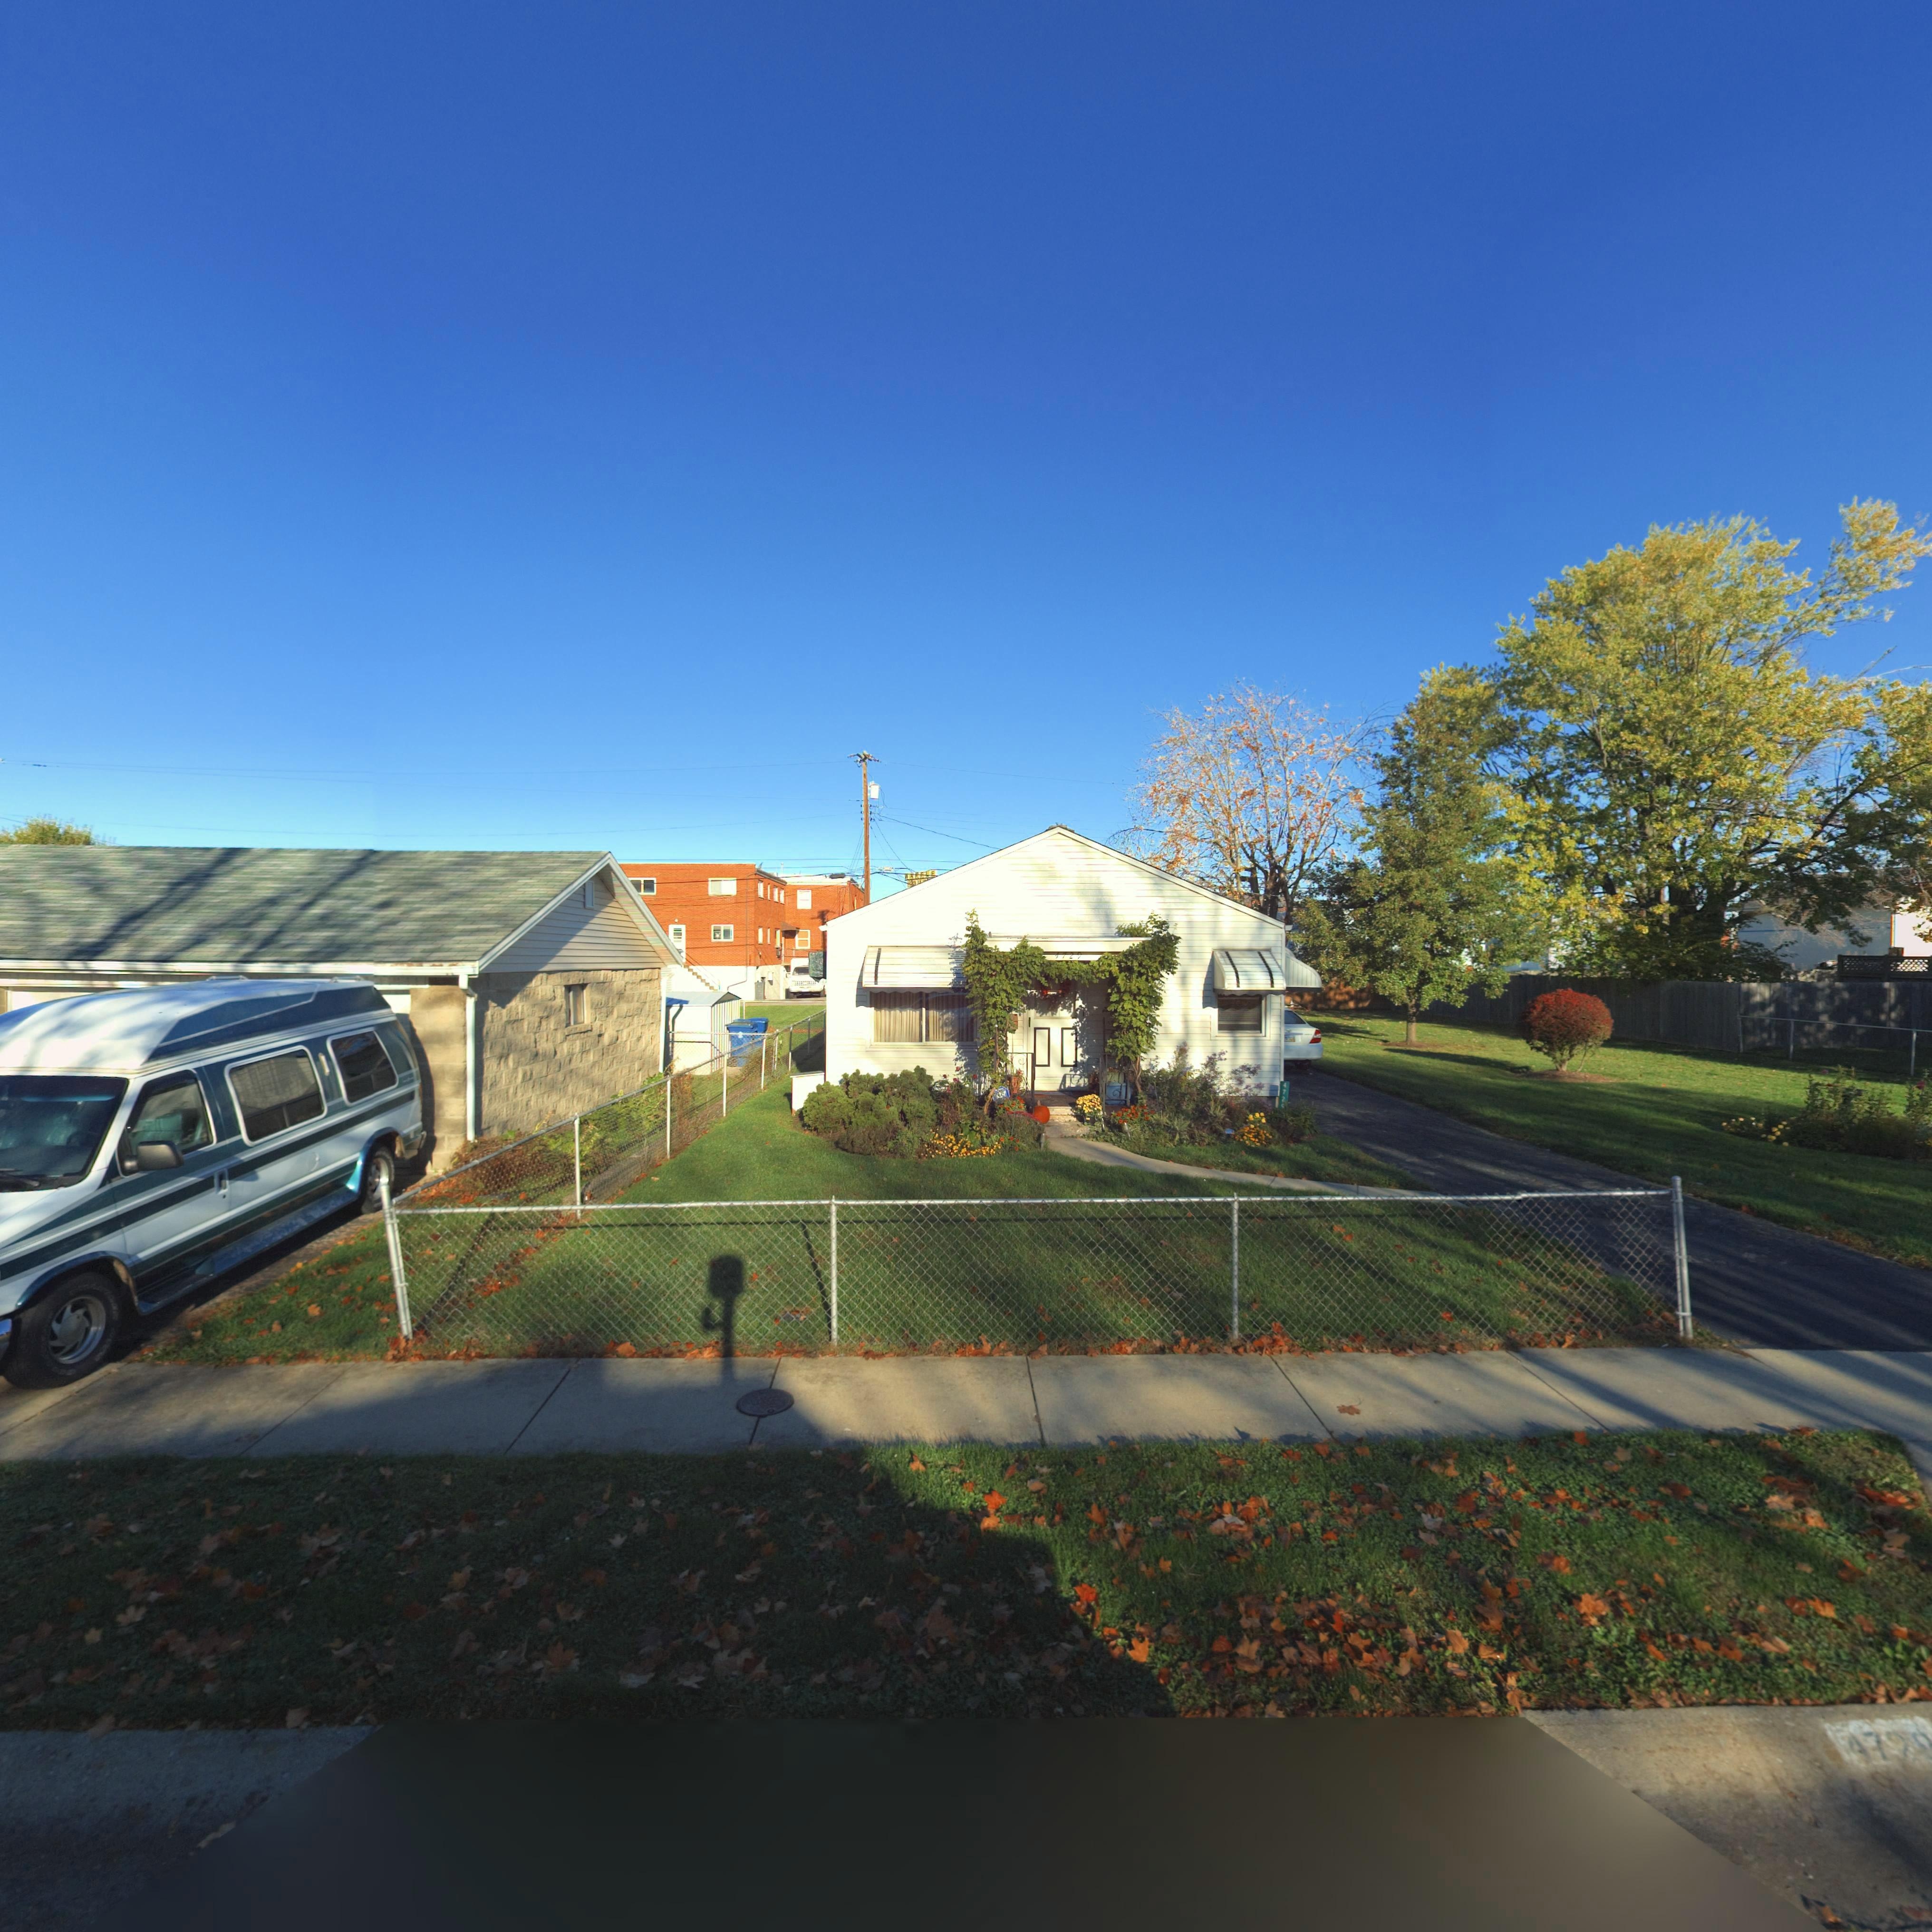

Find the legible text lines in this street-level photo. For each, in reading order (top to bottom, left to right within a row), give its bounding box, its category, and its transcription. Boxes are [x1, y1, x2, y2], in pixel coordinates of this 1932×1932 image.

[1053, 950, 1083, 960] StreetNumber: 4729
[1280, 1081, 1288, 1103] StreetNumber: 472